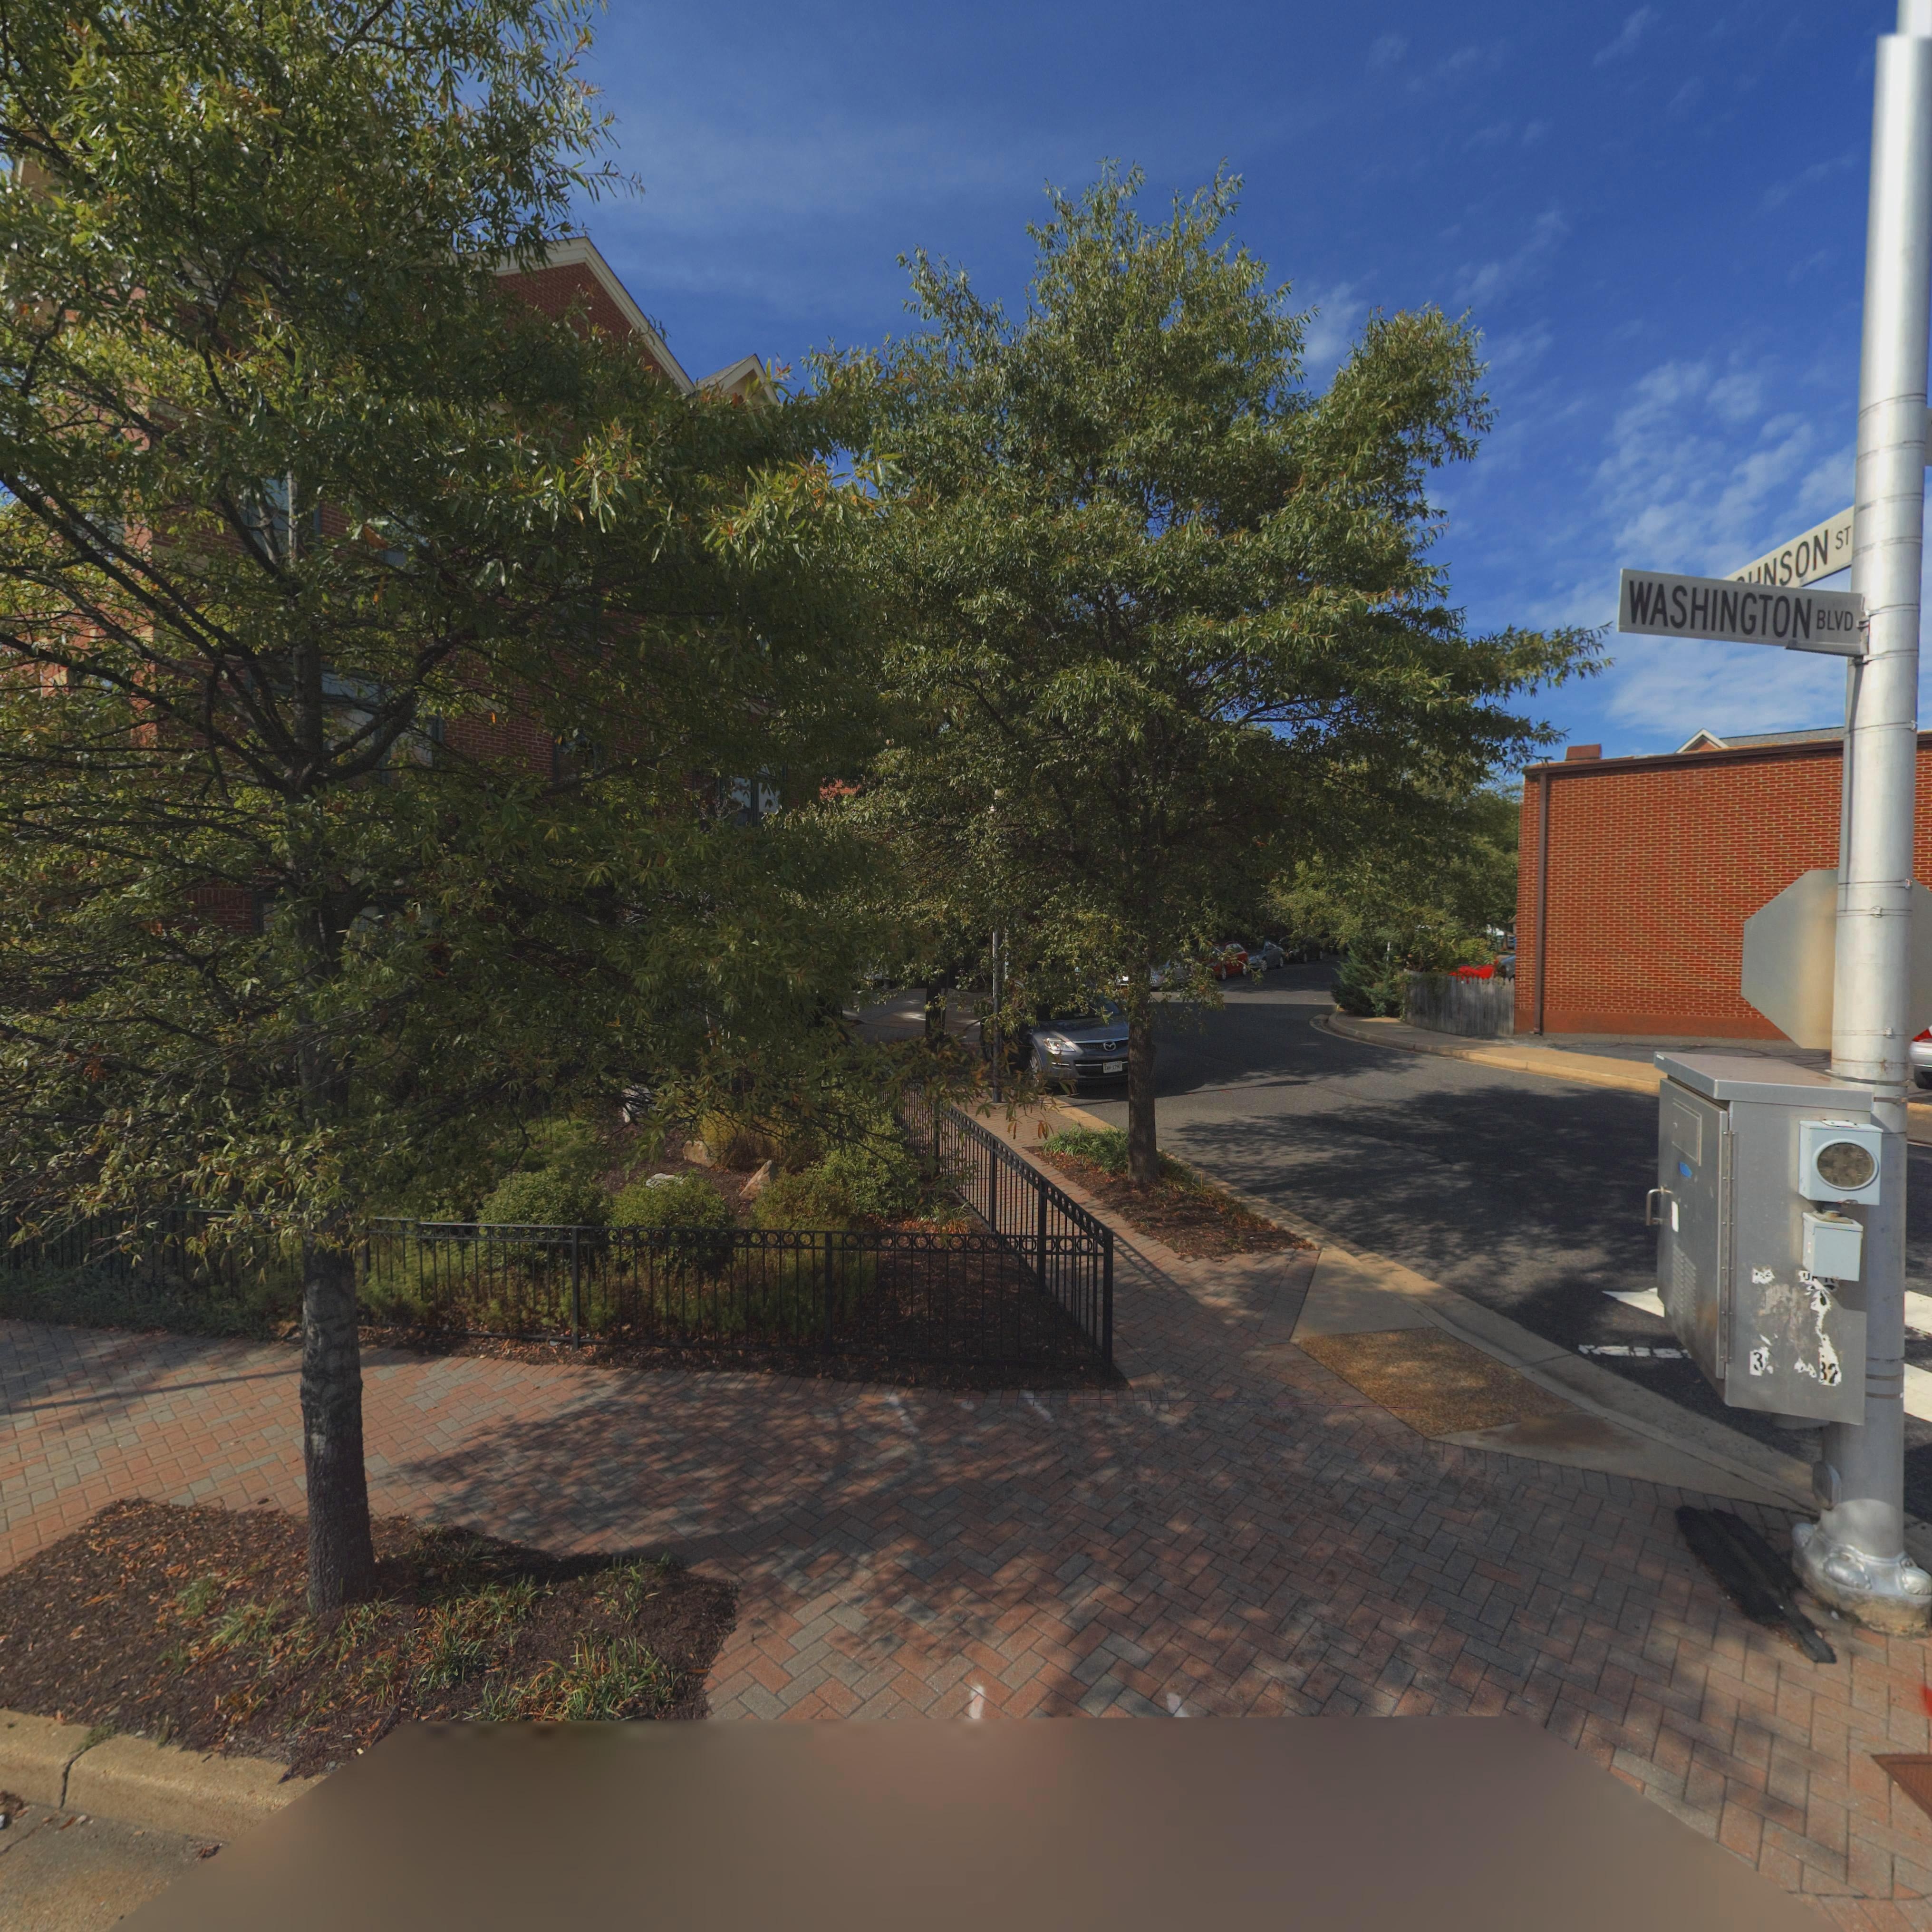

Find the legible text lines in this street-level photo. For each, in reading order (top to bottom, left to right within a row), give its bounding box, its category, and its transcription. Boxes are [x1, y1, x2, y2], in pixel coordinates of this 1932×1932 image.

[1777, 524, 1851, 590] StreetName: SON ST
[1627, 578, 1855, 641] StreetName: WASHINGTON BLVD
[1112, 1063, 1121, 1070] None: 1797
[1753, 1350, 1763, 1372] None: 3